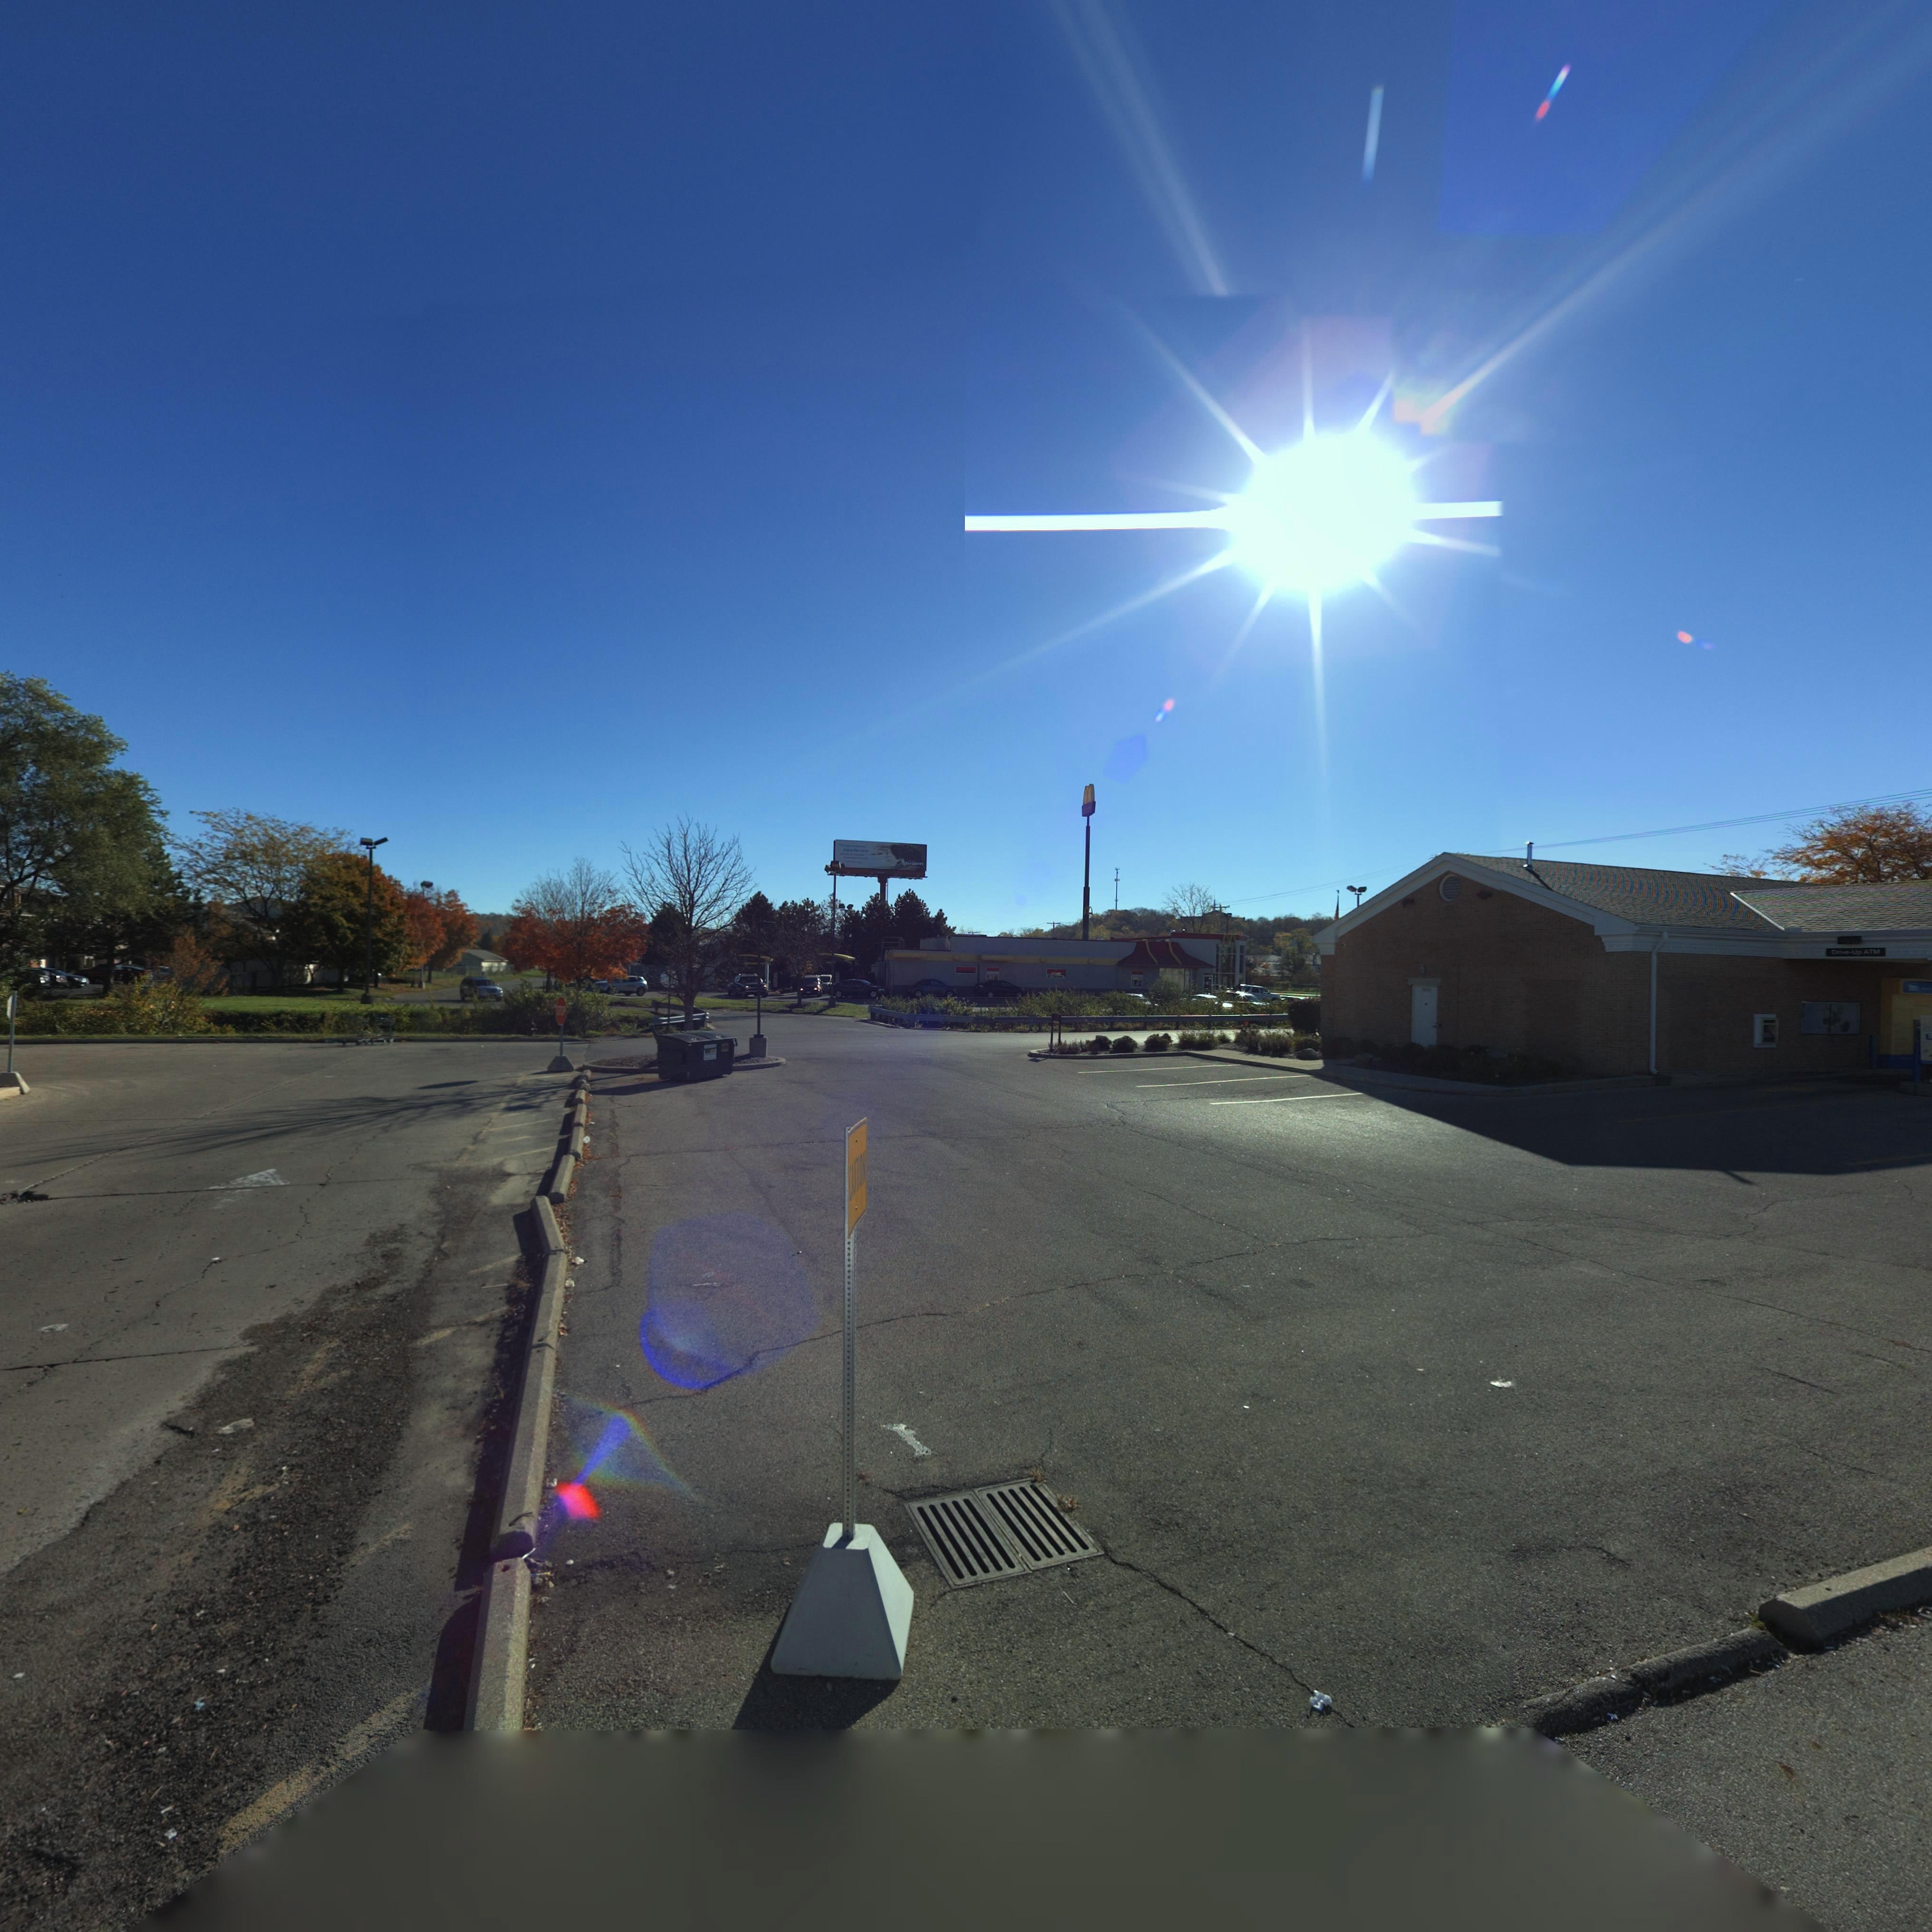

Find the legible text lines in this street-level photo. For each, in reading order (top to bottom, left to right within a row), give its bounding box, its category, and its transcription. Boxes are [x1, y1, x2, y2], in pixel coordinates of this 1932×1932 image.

[1421, 987, 1431, 992] StreetNumber: ***1